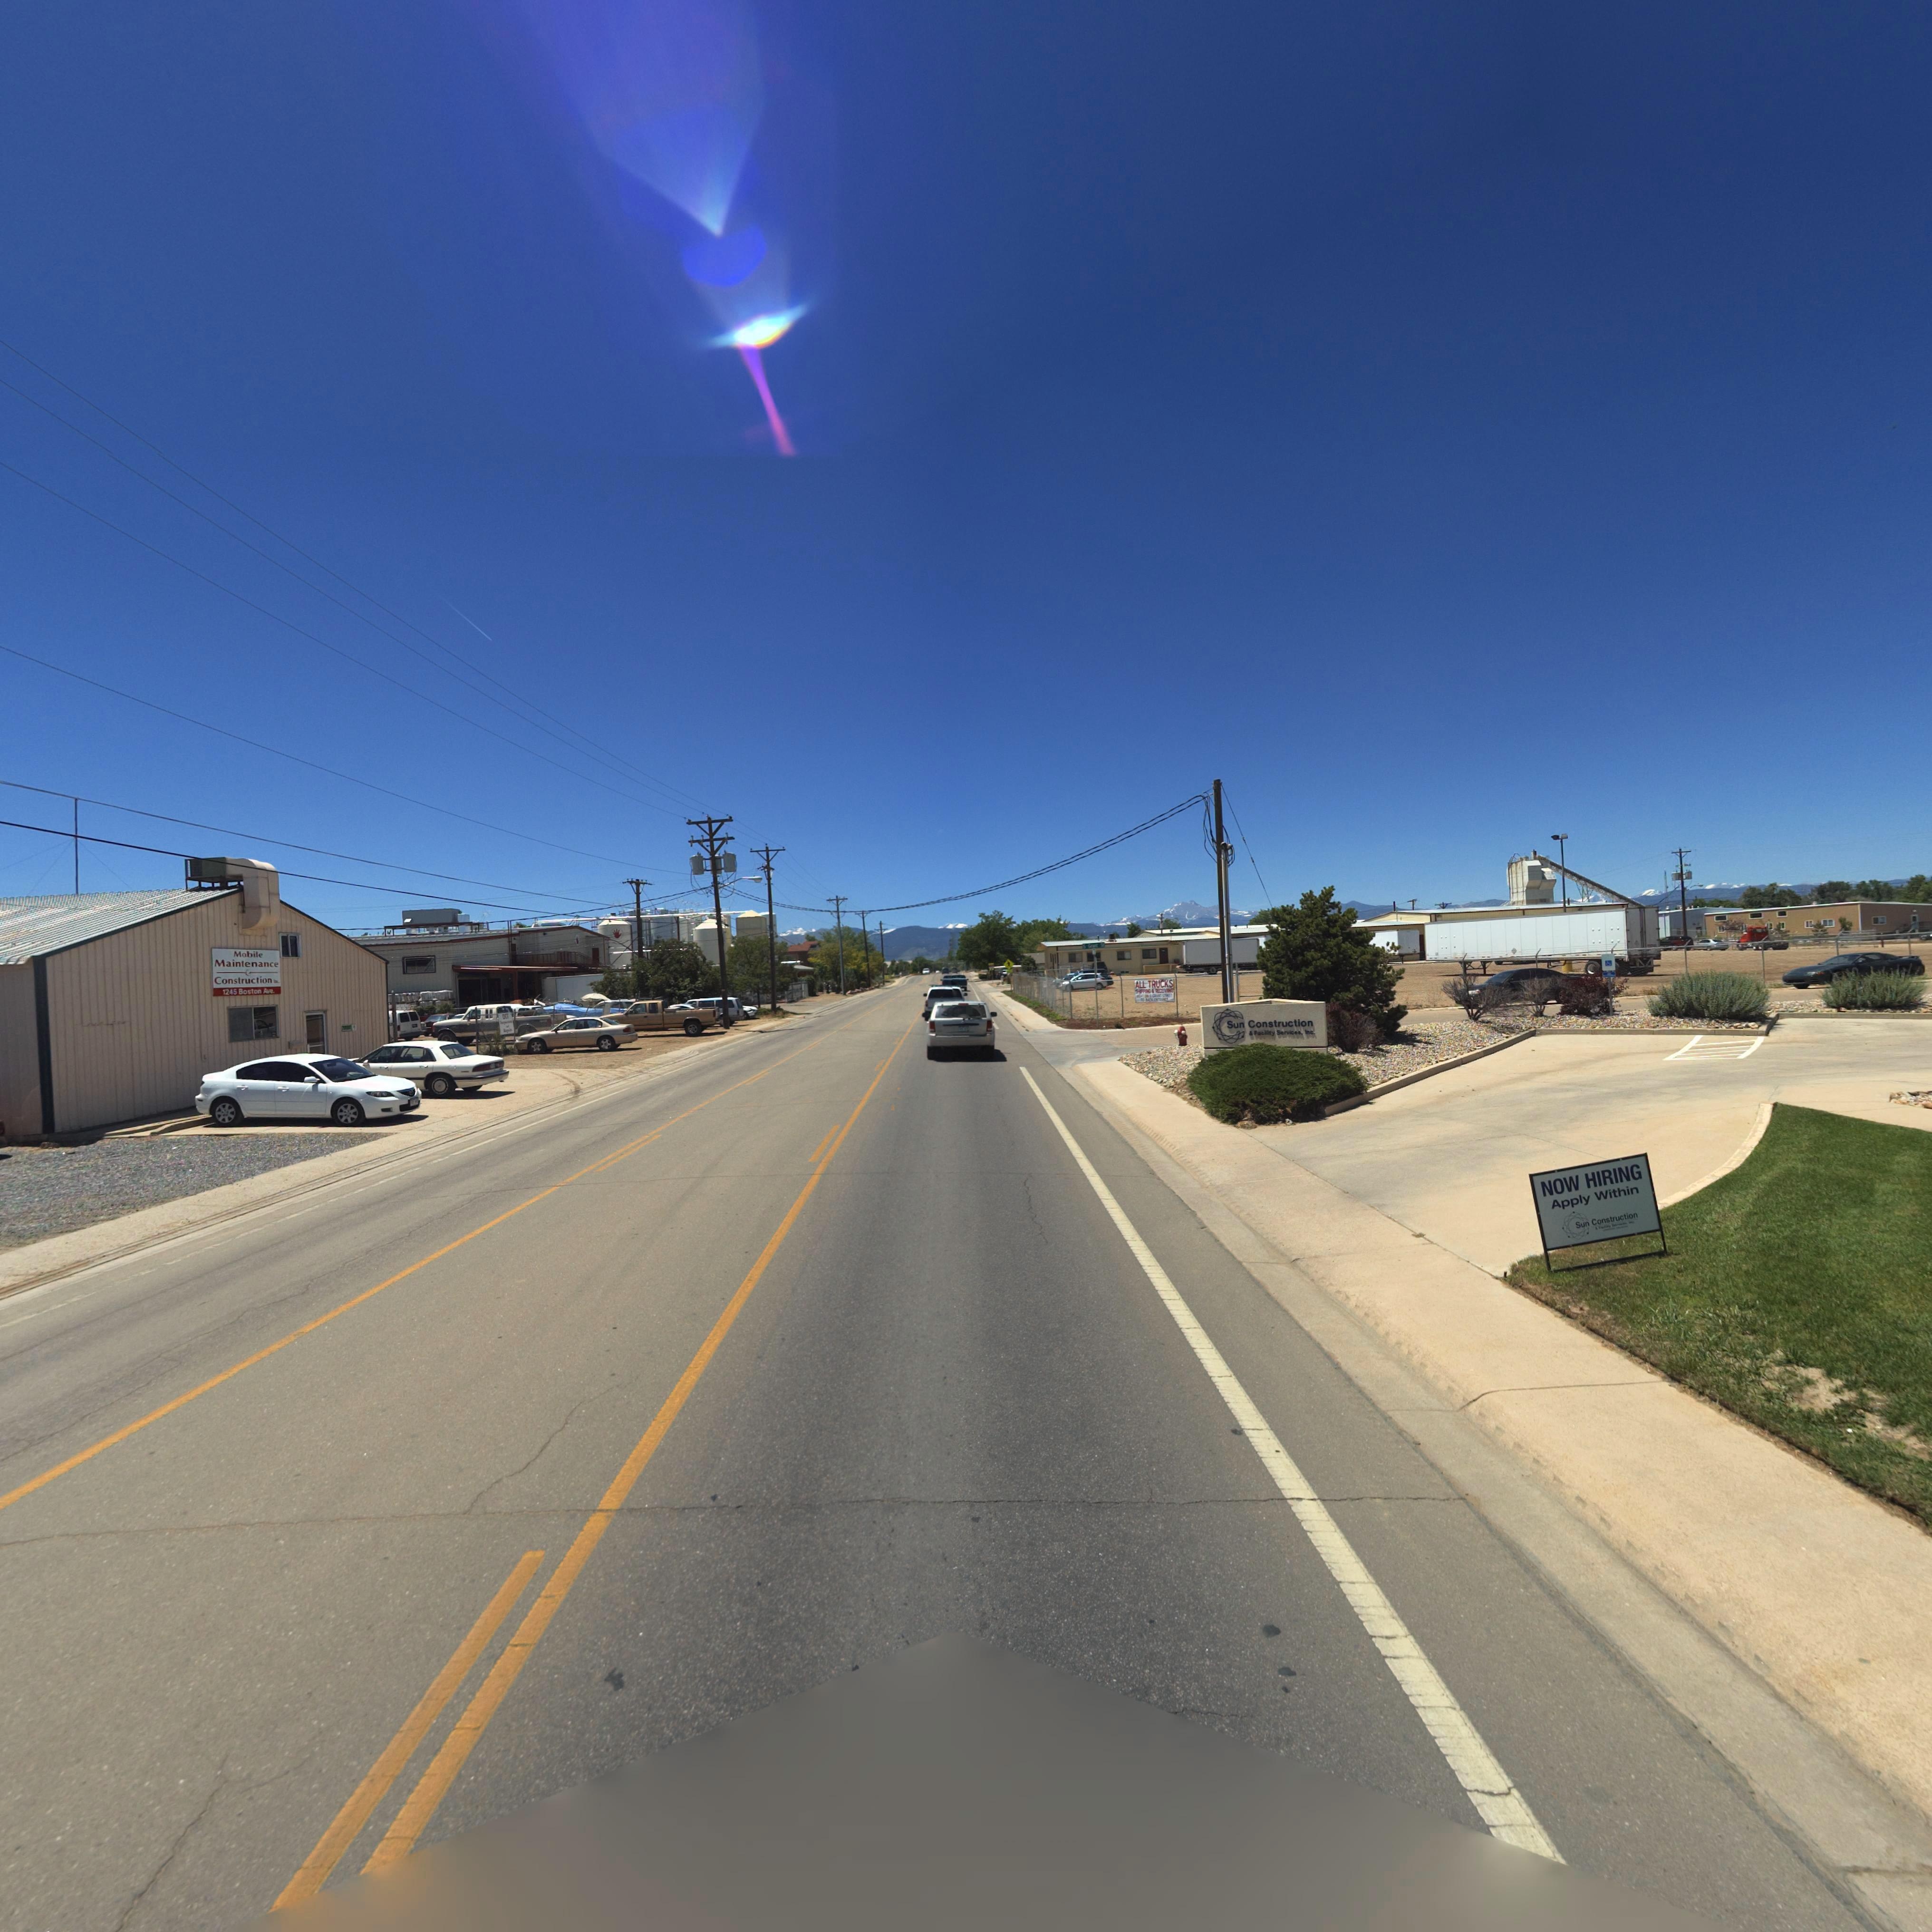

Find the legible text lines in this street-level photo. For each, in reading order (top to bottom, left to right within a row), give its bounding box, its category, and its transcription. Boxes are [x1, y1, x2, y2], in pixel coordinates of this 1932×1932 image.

[1082, 943, 1104, 948] StreetName: S Grant St
[233, 950, 263, 958] BusinessName: Mobile
[214, 959, 279, 967] BusinessName: Maintenance
[214, 976, 272, 984] BusinessName: Construction
[273, 978, 278, 983] BusinessName: I**
[222, 988, 237, 995] StreetNumber: 1245
[238, 987, 275, 995] StreetName: Boston Ave.
[1226, 1018, 1313, 1029] BusinessName: Sun Construction
[1248, 1029, 1315, 1035] BusinessName: & Facility Services, Inc.
[1575, 1212, 1638, 1229] BusinessName: Sun Construction